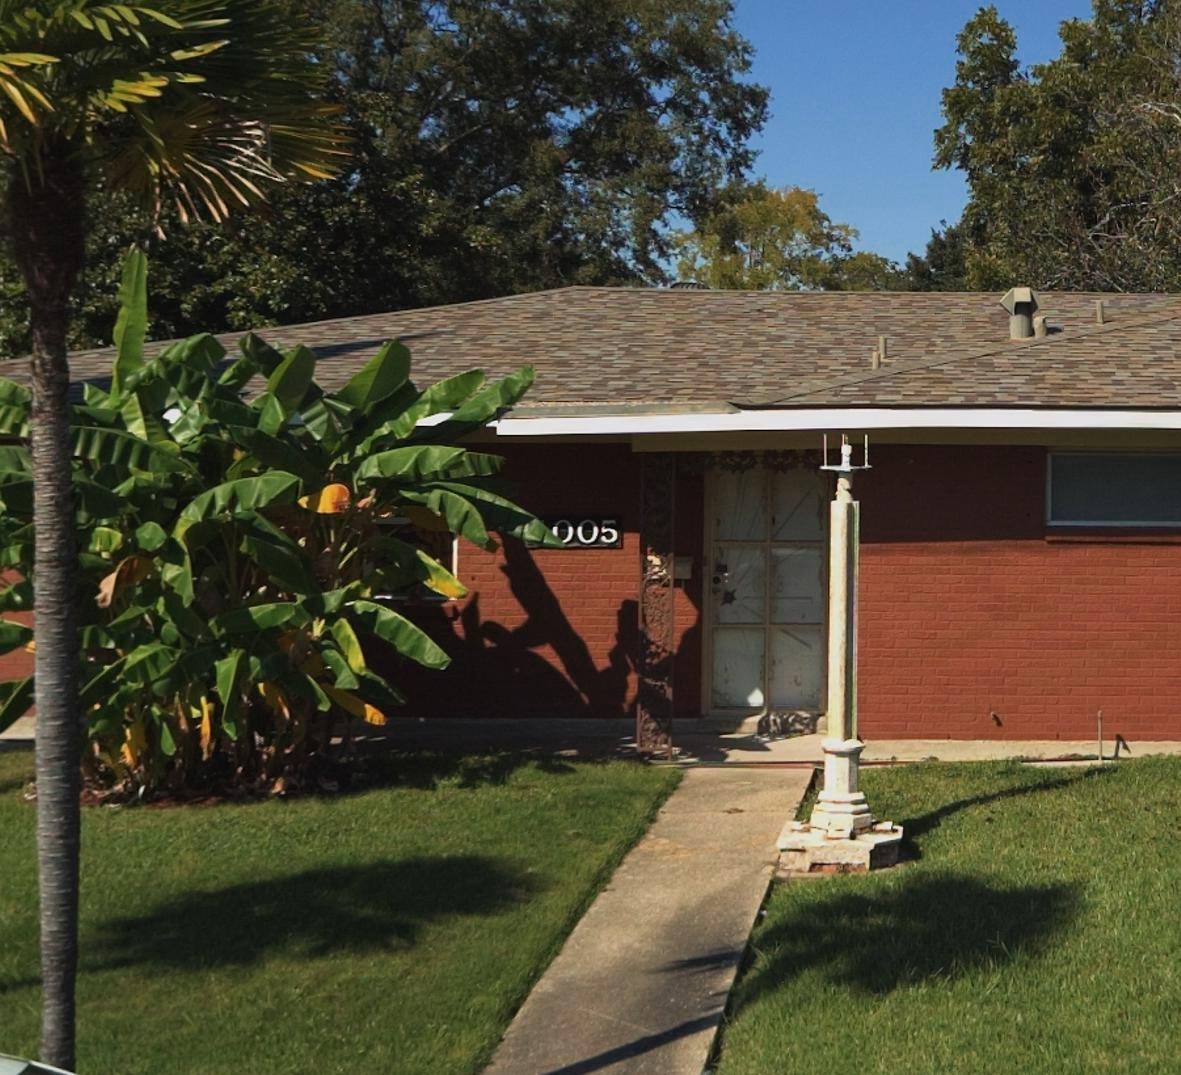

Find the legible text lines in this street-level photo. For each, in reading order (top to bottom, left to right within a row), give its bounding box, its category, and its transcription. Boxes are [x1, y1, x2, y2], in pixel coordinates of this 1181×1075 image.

[533, 518, 619, 544] StreetNumber: *005
[775, 573, 785, 593] None: 8